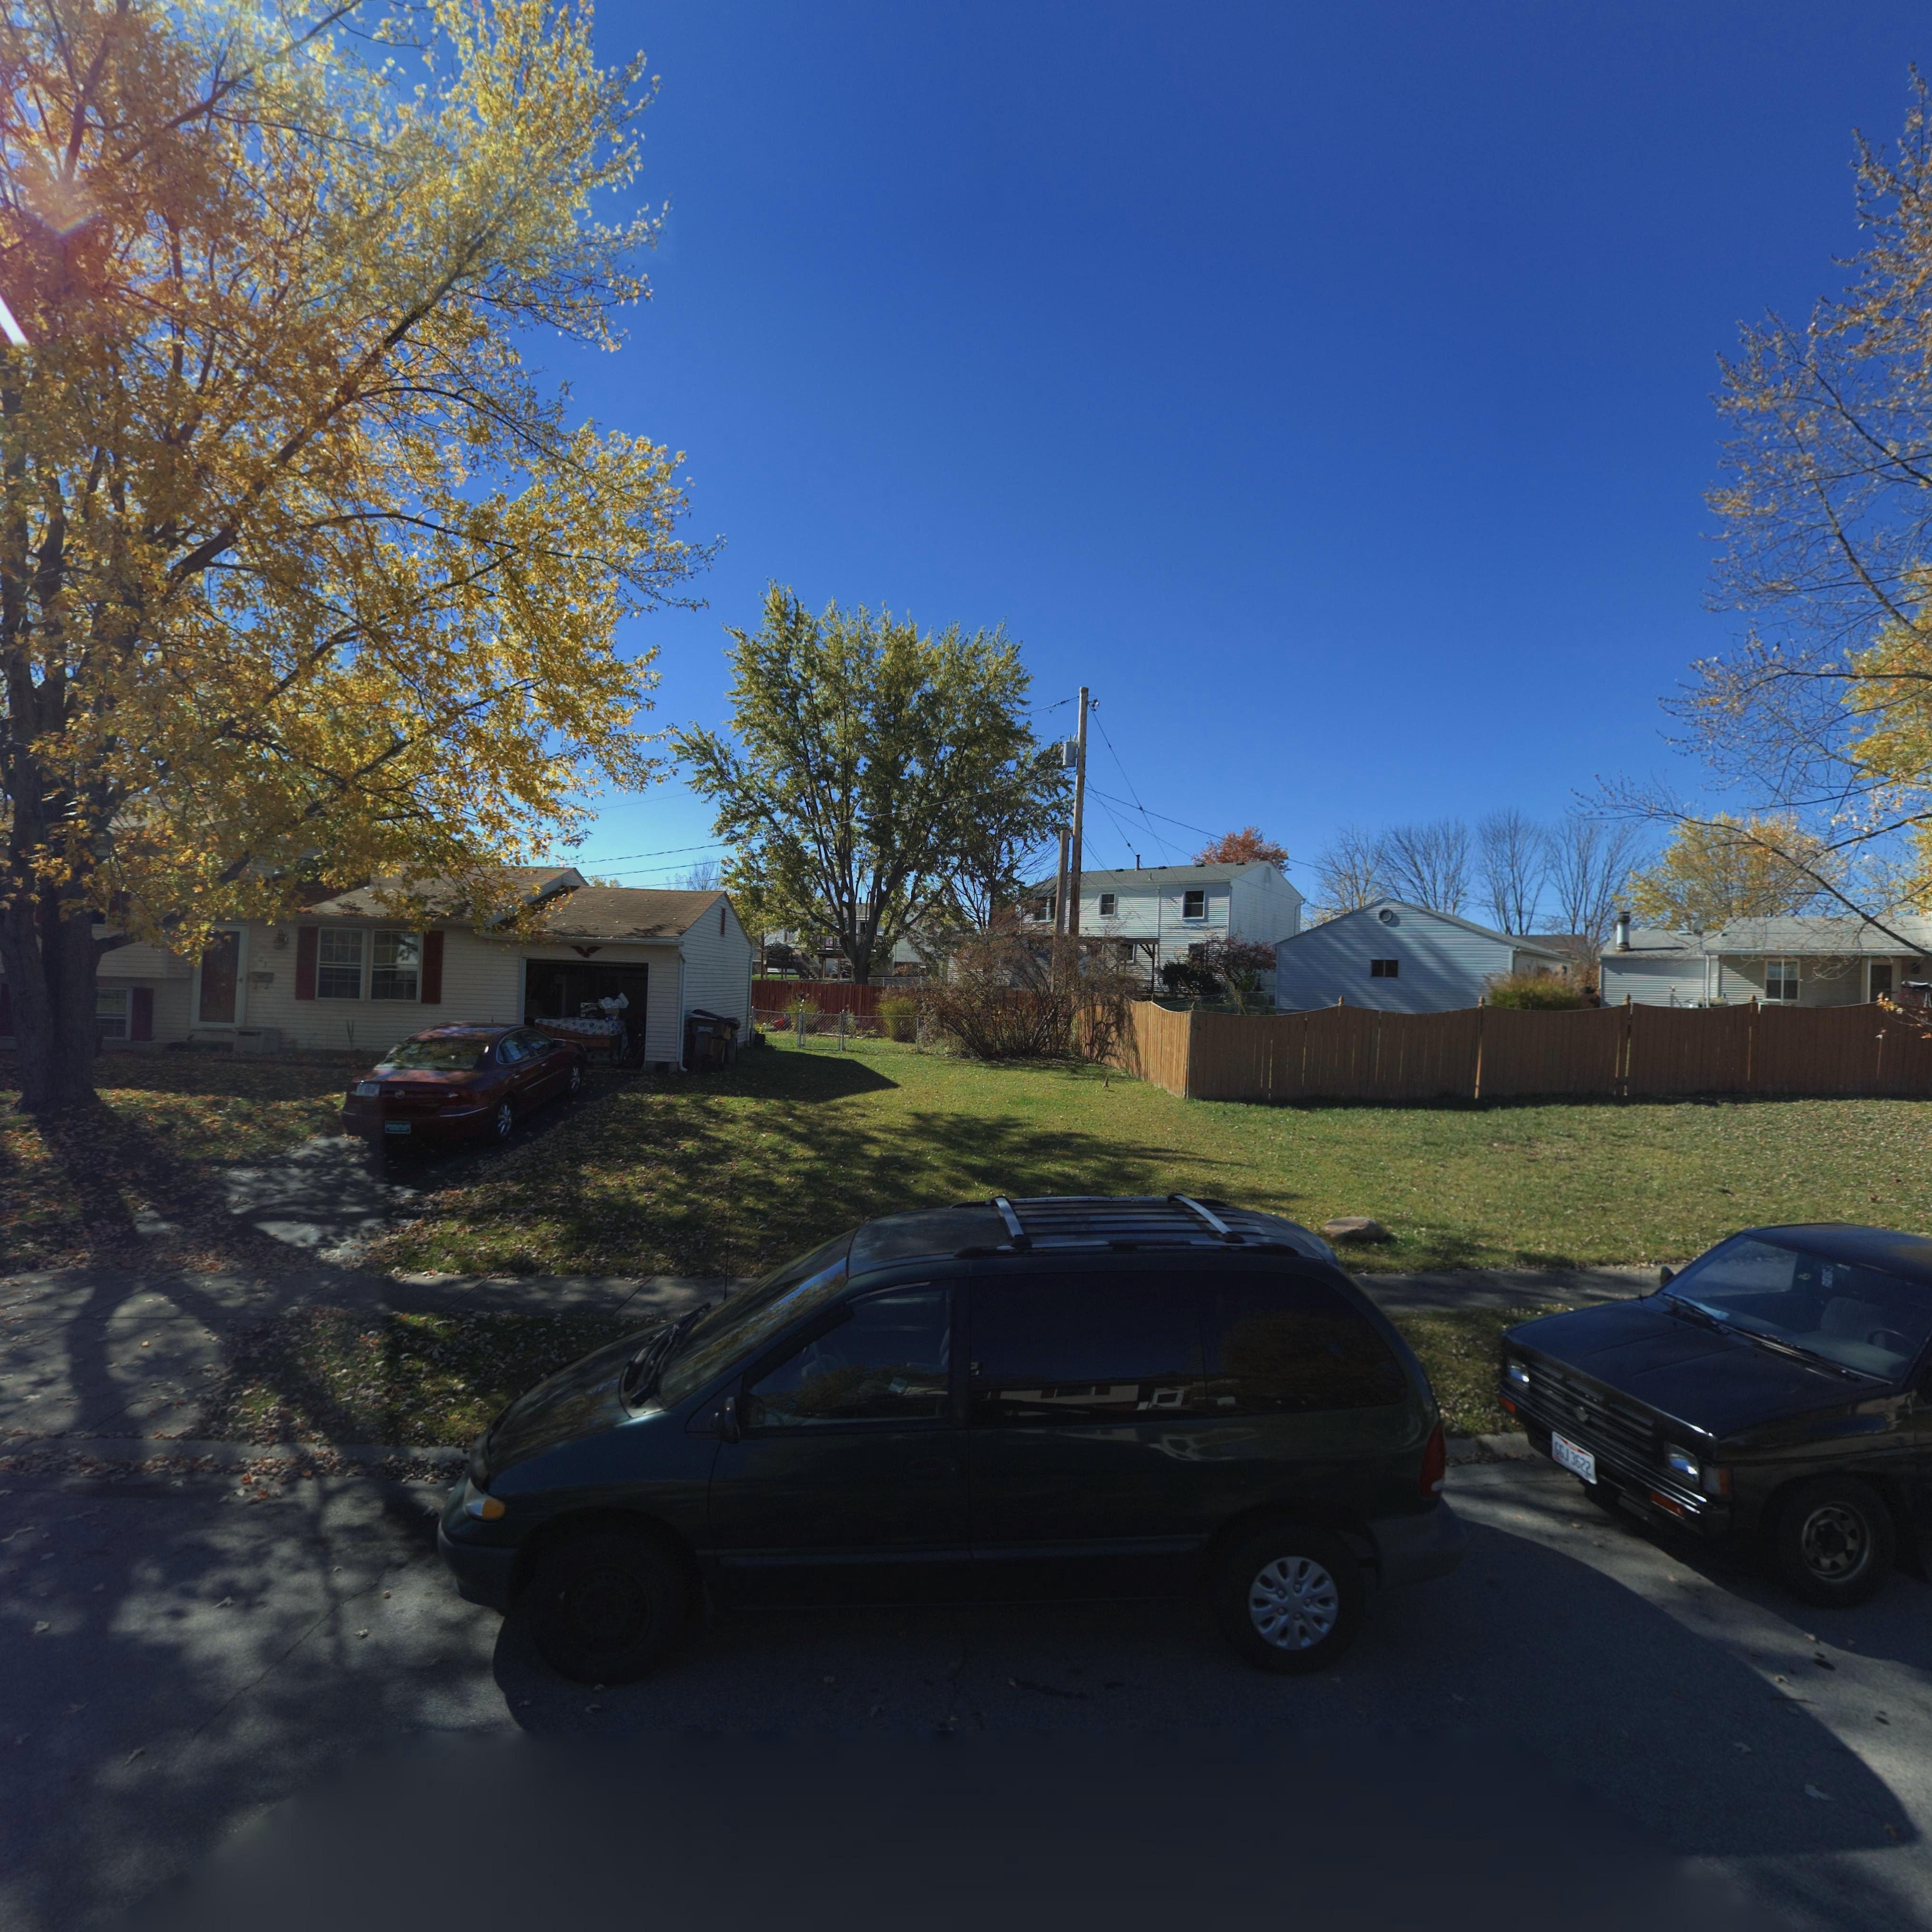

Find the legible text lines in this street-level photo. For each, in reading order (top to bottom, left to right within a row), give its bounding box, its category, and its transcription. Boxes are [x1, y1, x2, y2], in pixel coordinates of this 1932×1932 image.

[255, 949, 269, 969] StreetNumber: 103